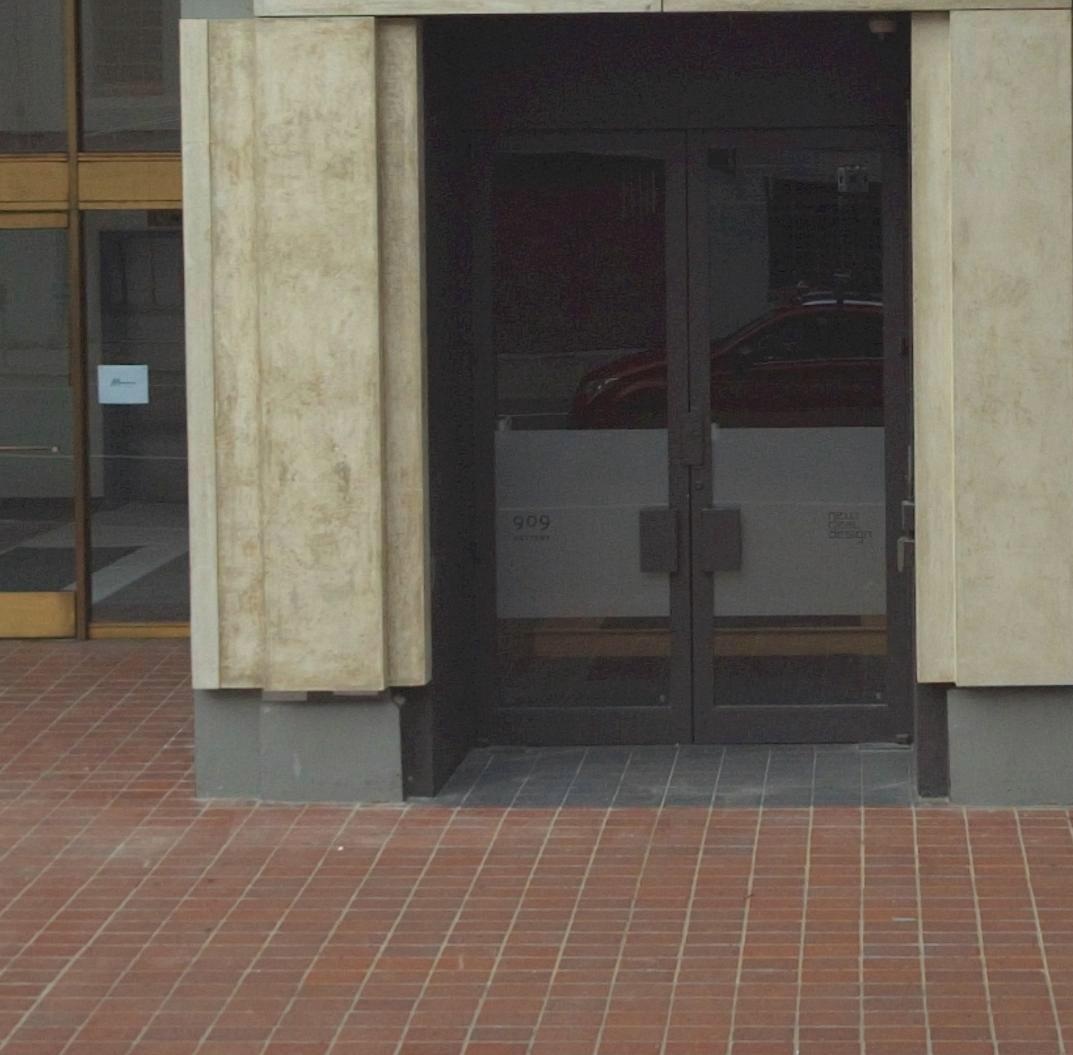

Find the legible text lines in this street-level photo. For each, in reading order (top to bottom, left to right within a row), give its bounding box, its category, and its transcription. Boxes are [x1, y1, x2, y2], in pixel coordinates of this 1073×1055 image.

[512, 513, 554, 534] StreetNumber: 909
[826, 525, 875, 548] None: d*sign